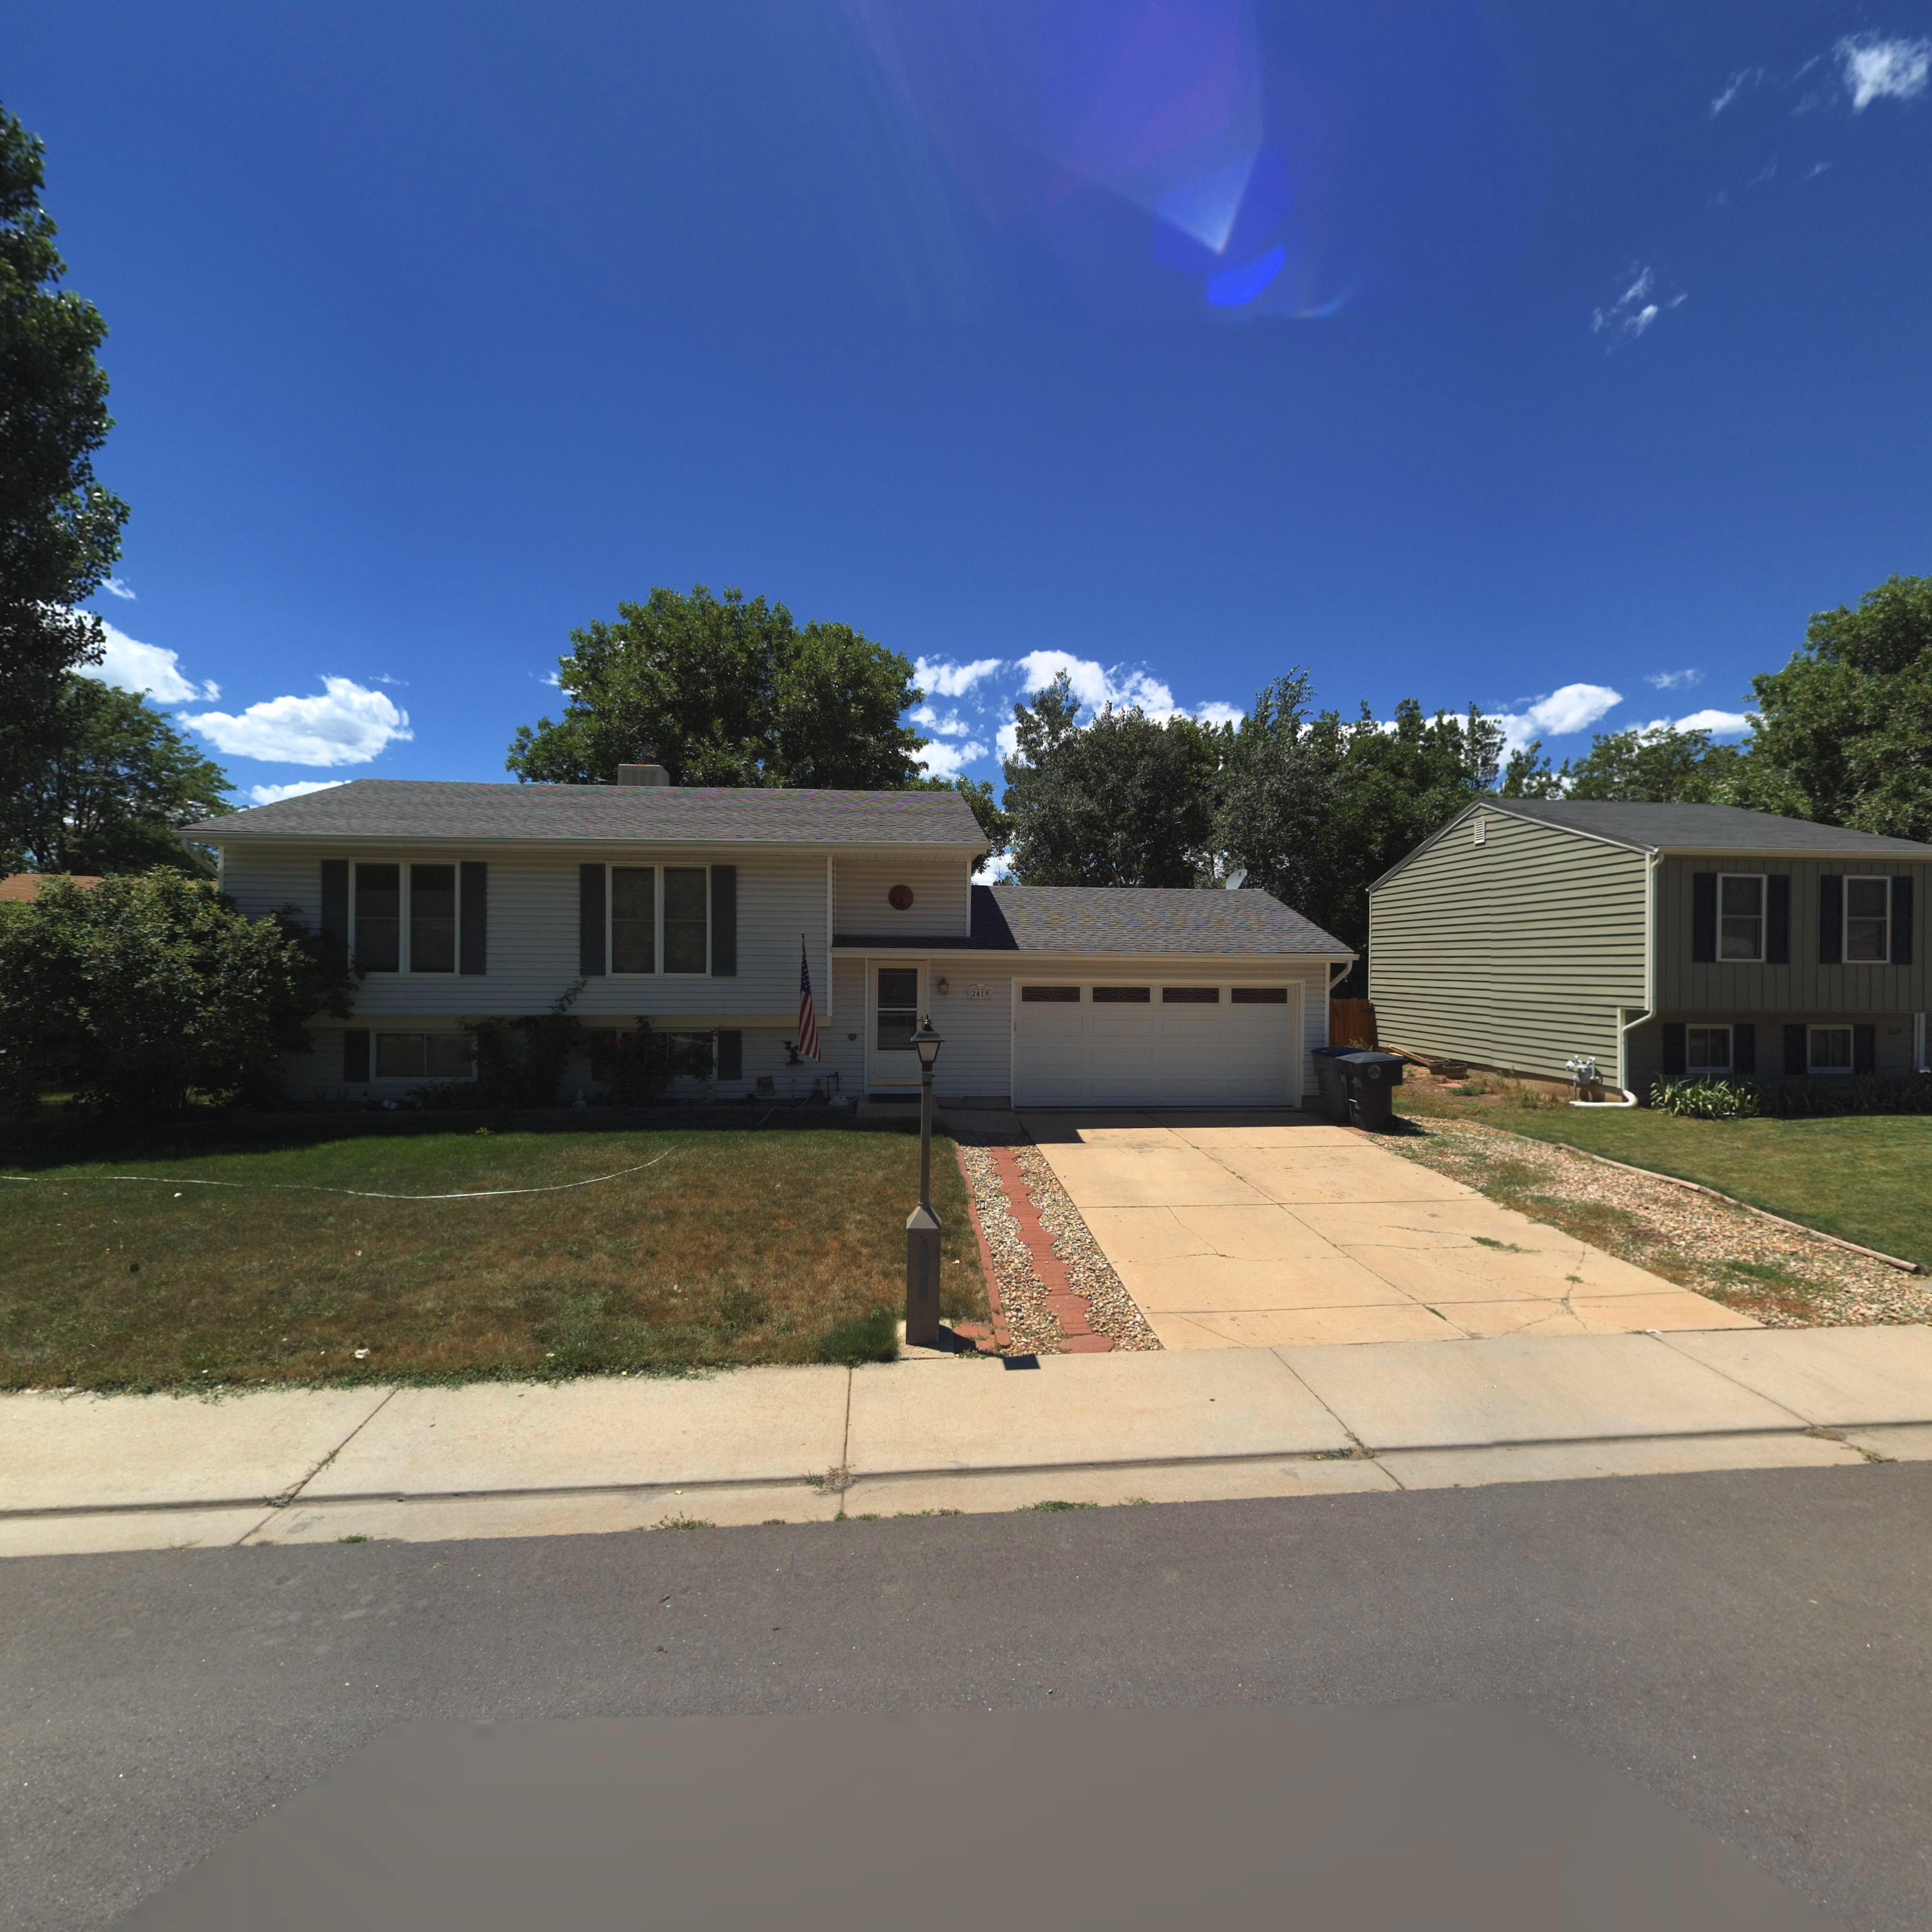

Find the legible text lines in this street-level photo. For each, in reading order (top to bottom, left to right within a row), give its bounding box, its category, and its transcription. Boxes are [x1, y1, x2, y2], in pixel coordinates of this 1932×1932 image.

[971, 990, 989, 997] StreetNumber: 2419
[1887, 1028, 1902, 1035] StreetNumber: 2**9